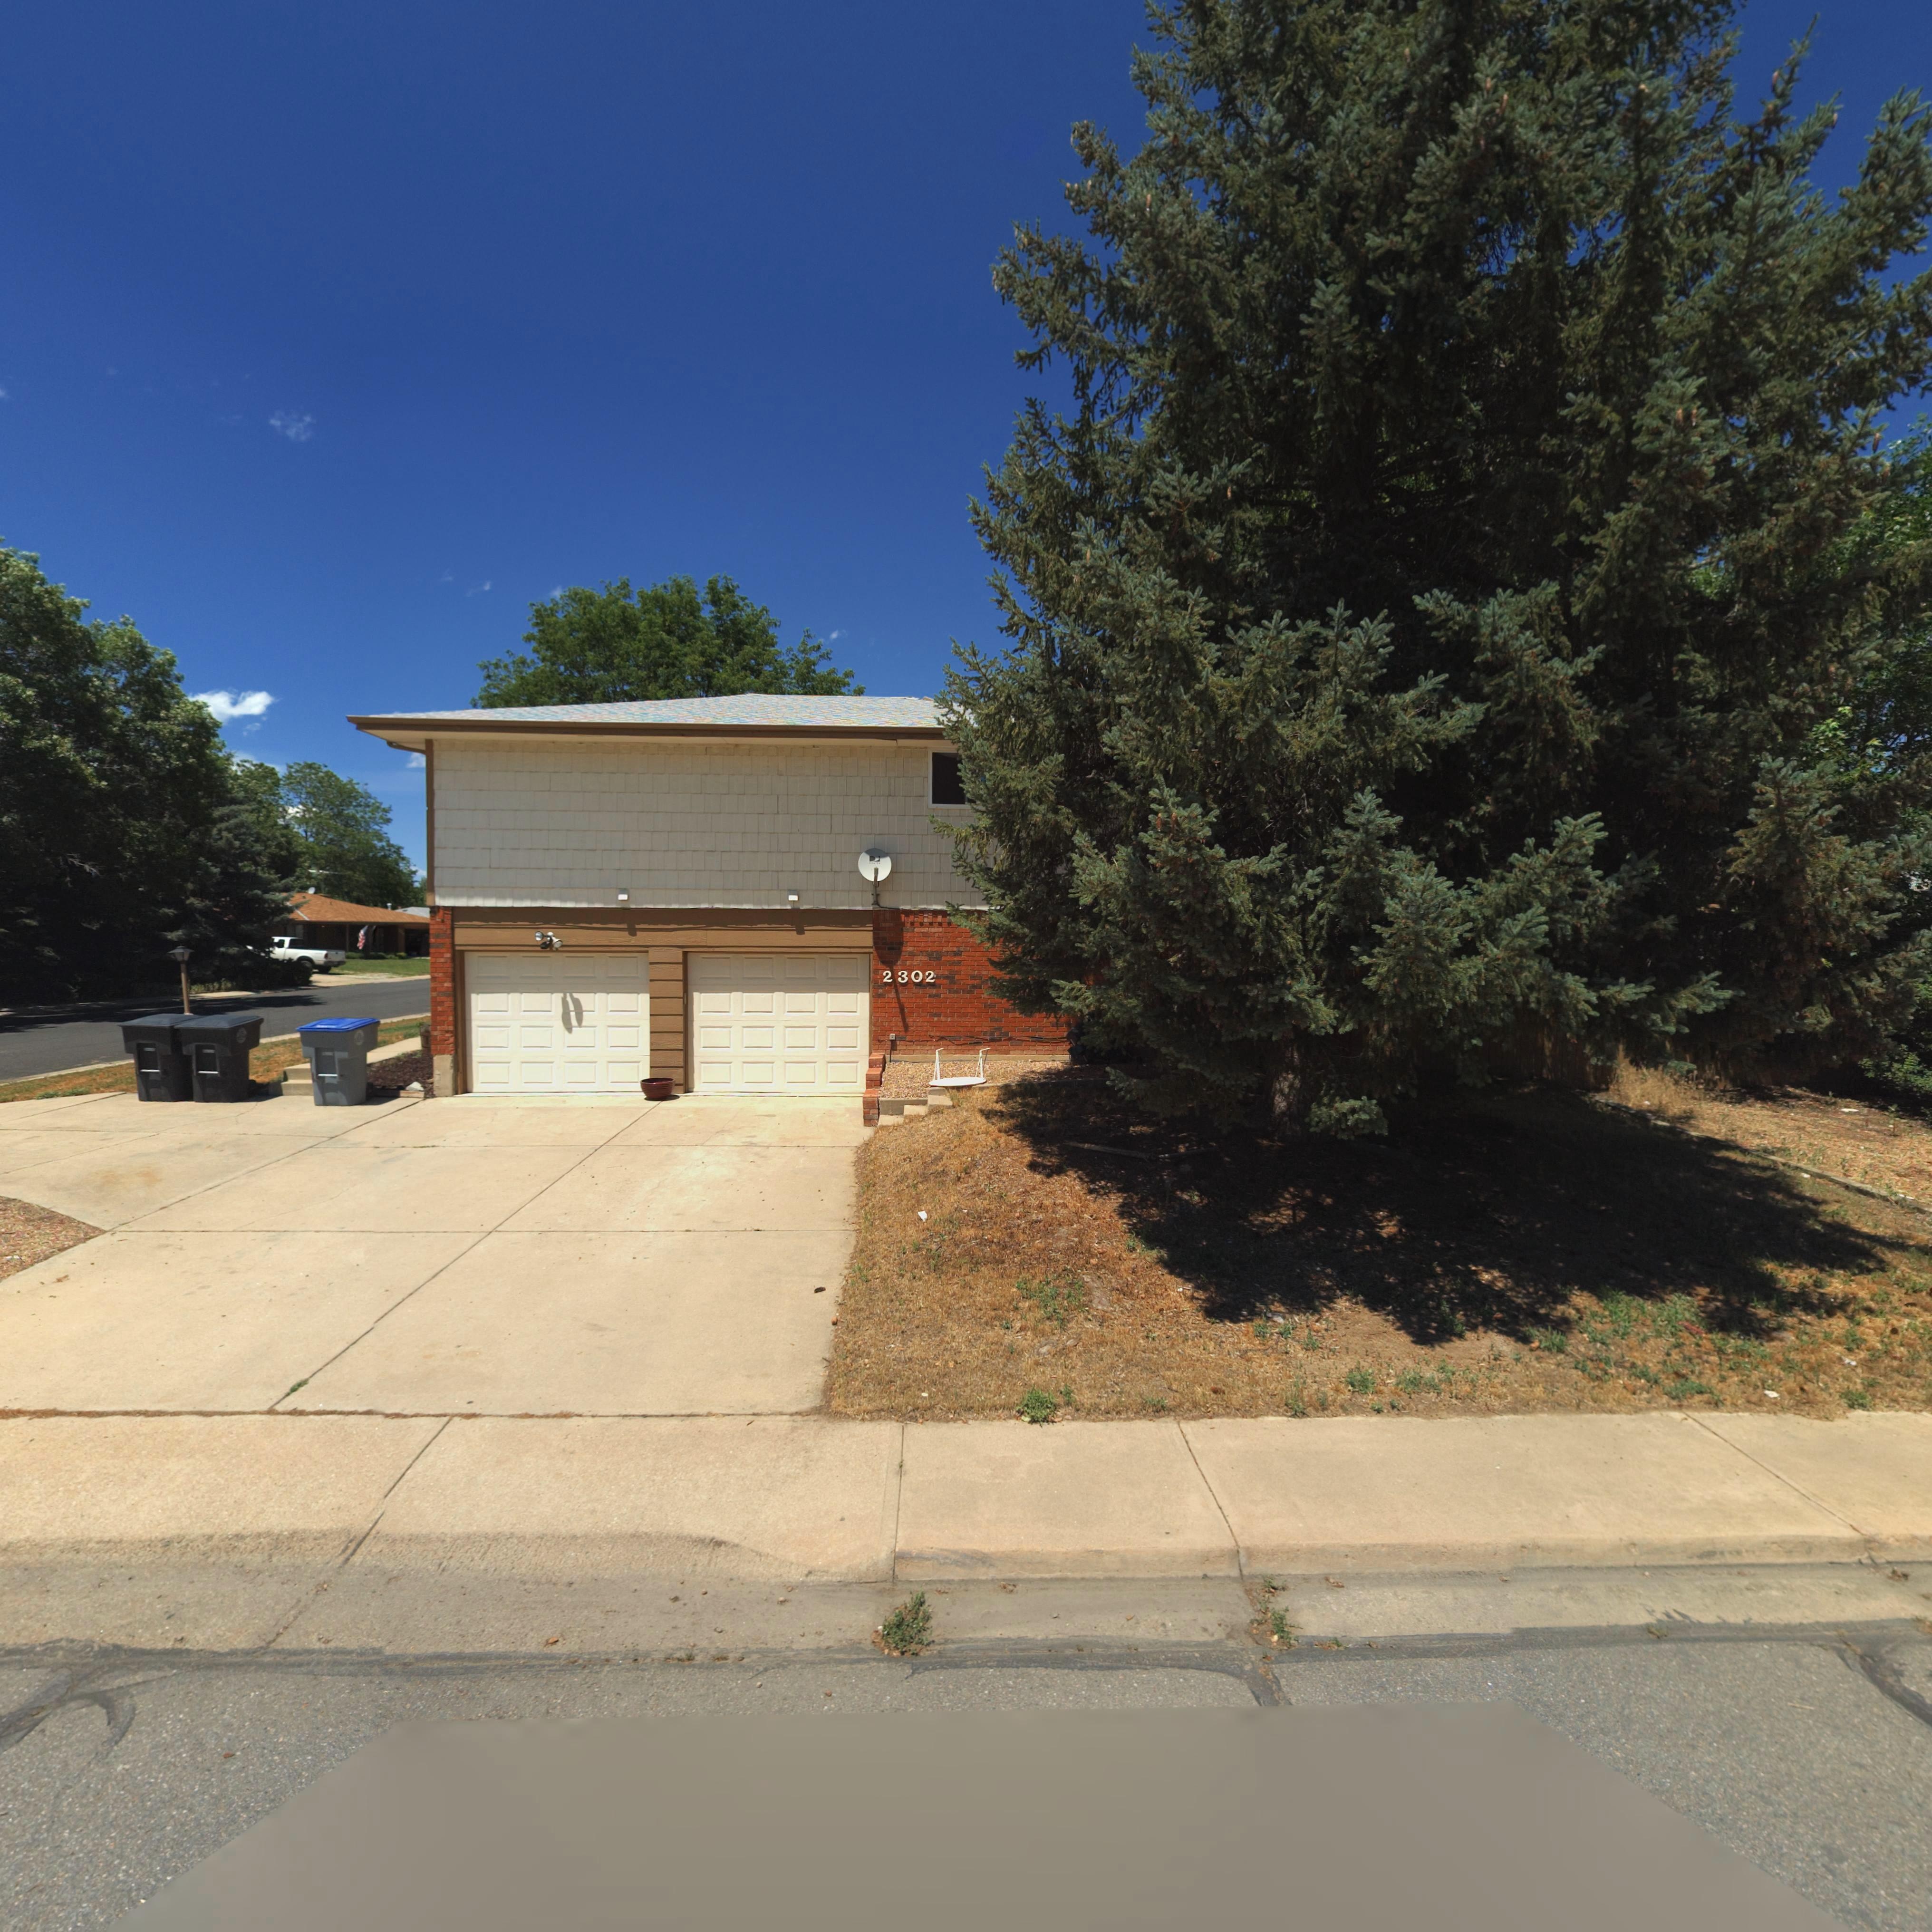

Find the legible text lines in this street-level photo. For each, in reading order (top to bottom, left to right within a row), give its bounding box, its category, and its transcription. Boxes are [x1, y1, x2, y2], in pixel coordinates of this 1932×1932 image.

[882, 970, 935, 983] StreetNumber: 2302